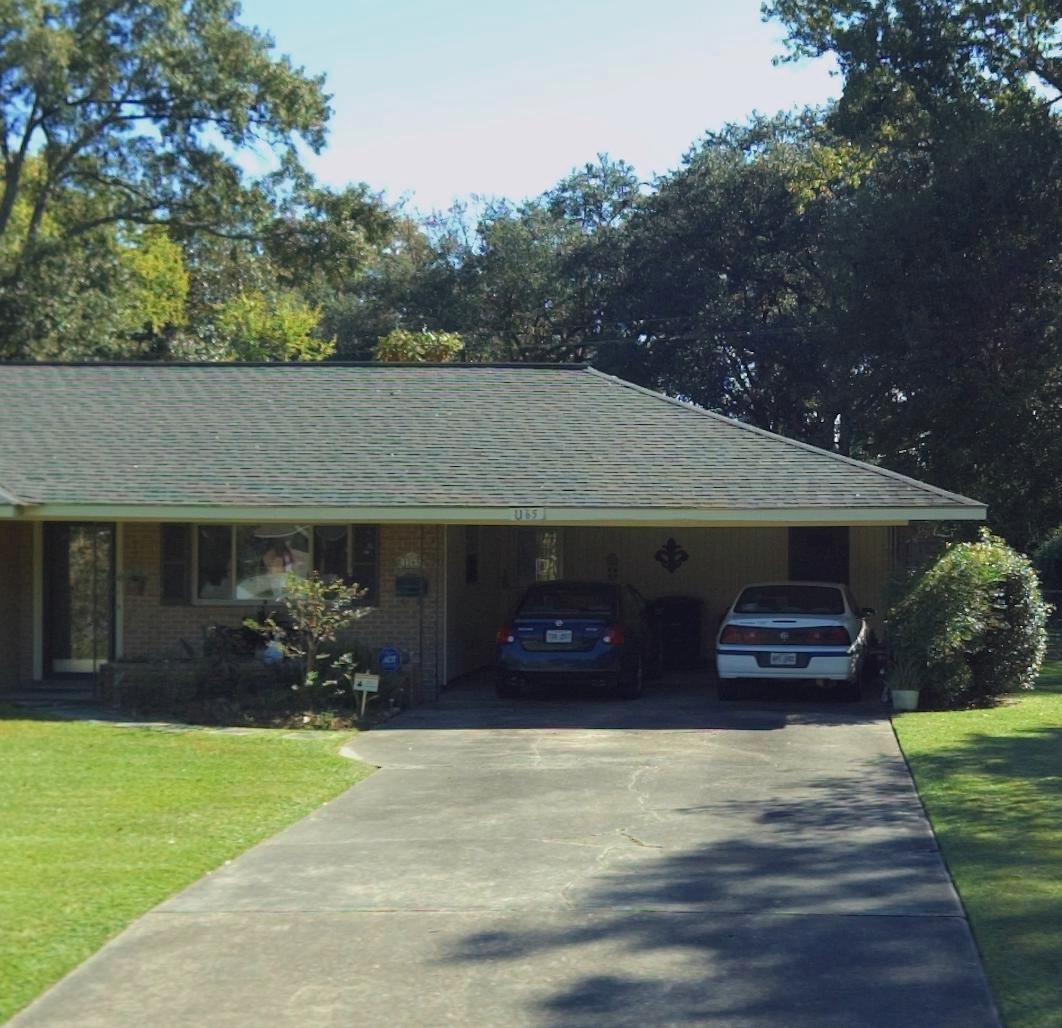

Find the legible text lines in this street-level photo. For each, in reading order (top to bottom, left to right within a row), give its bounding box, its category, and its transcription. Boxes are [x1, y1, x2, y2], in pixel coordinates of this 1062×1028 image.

[511, 506, 539, 522] StreetNumber: **65
[401, 556, 422, 569] StreetNumber: 11**